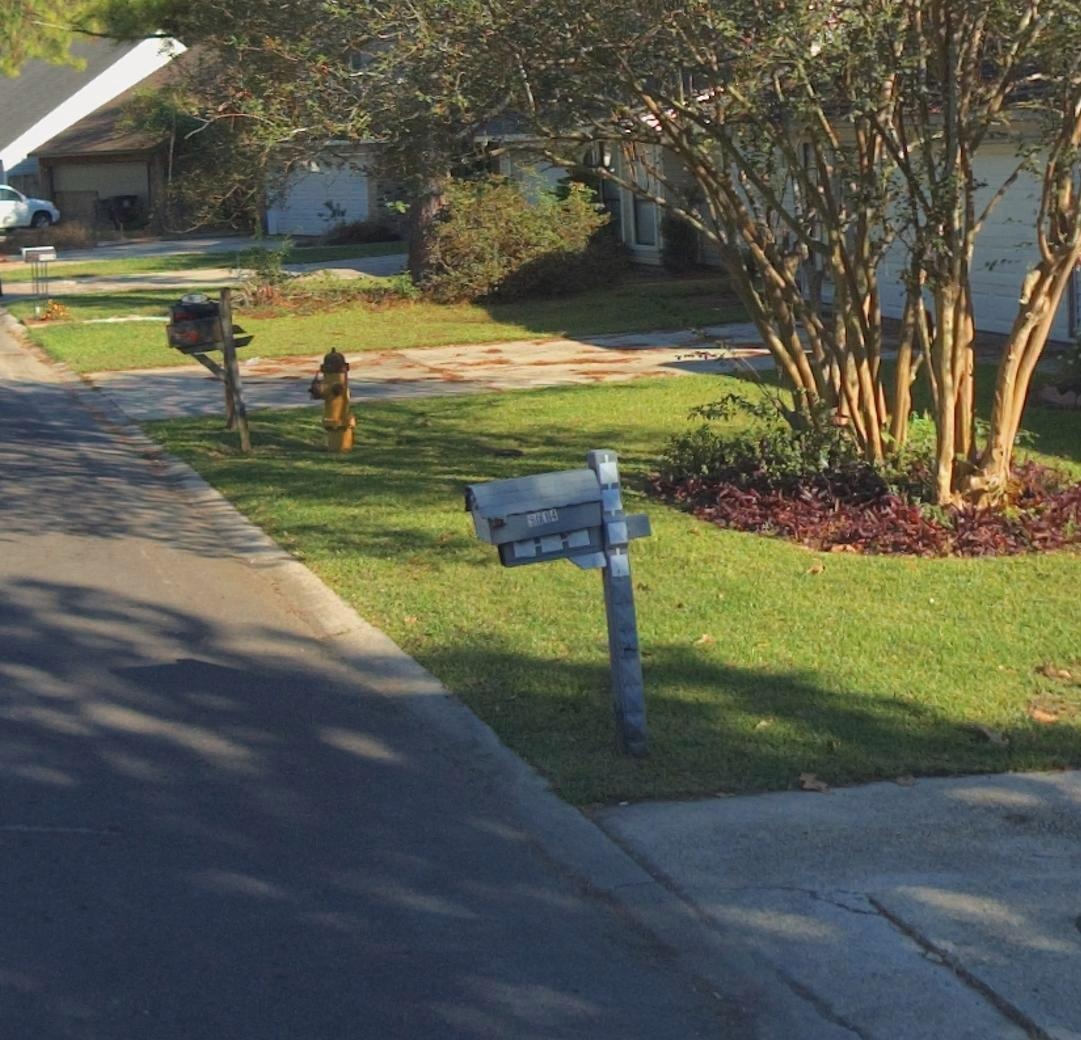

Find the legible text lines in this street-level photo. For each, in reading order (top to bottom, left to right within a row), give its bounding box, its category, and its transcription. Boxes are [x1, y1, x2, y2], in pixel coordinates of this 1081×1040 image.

[527, 507, 560, 528] StreetNumber: 9014